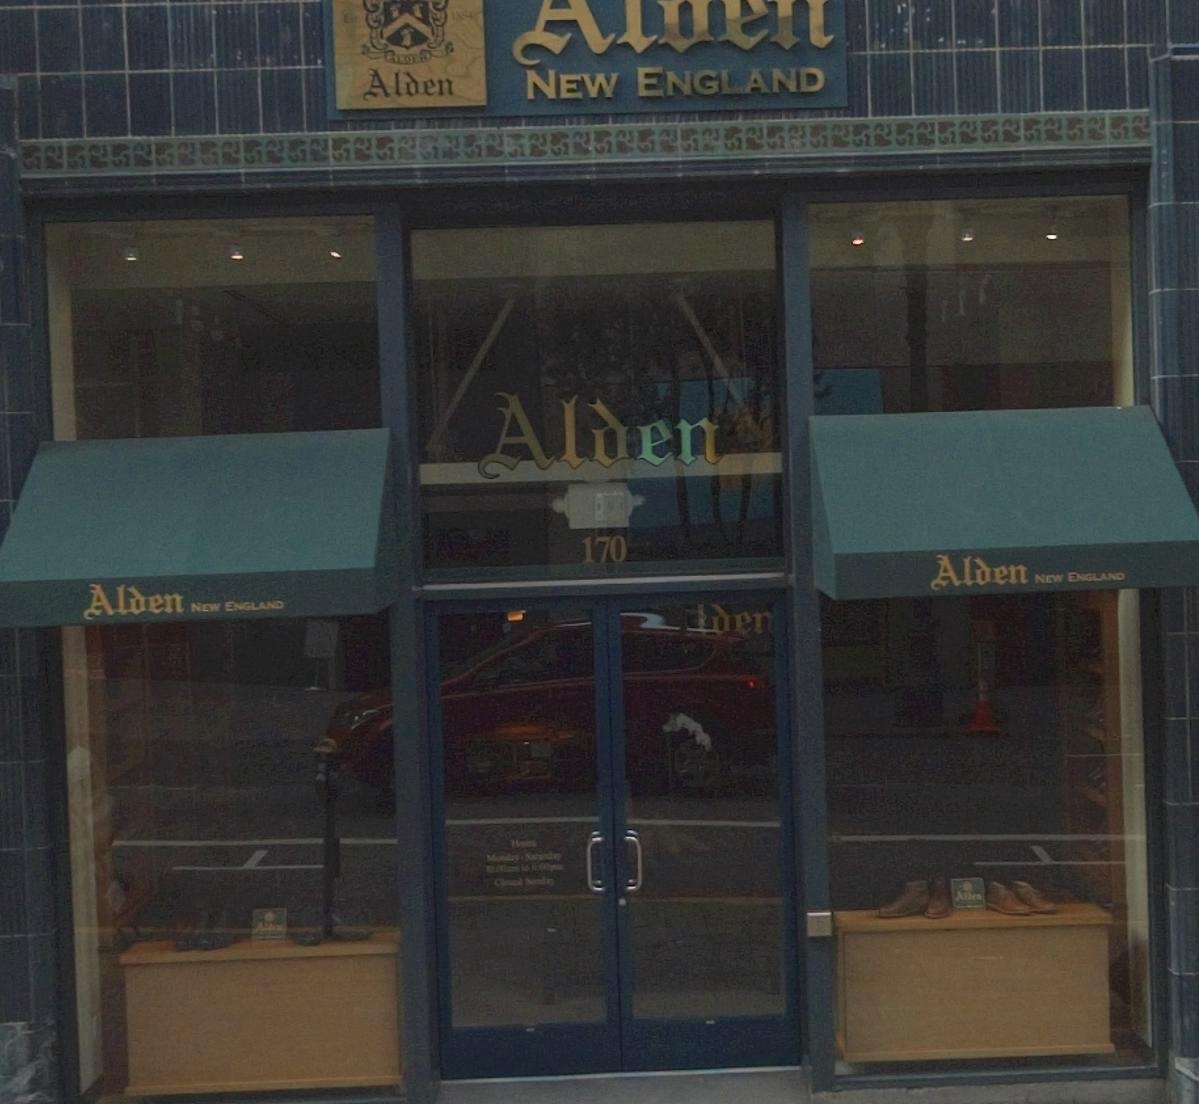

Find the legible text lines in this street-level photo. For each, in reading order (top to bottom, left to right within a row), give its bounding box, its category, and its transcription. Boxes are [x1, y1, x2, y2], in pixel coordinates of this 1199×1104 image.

[361, 66, 457, 103] BusinessName: Alden
[524, 65, 827, 100] BusinessName: NEW ENGLAND
[474, 387, 731, 481] BusinessName: Alden
[579, 534, 629, 565] StreetNumber: 170
[929, 552, 1127, 592] BusinessName: Alden NEW ENGLAND
[81, 582, 287, 622] BusinessName: Alden NEW ENGLAND
[732, 607, 777, 640] BusinessName: en
[509, 837, 541, 849] None: Hours
[492, 875, 555, 888] None: Closed Sunday